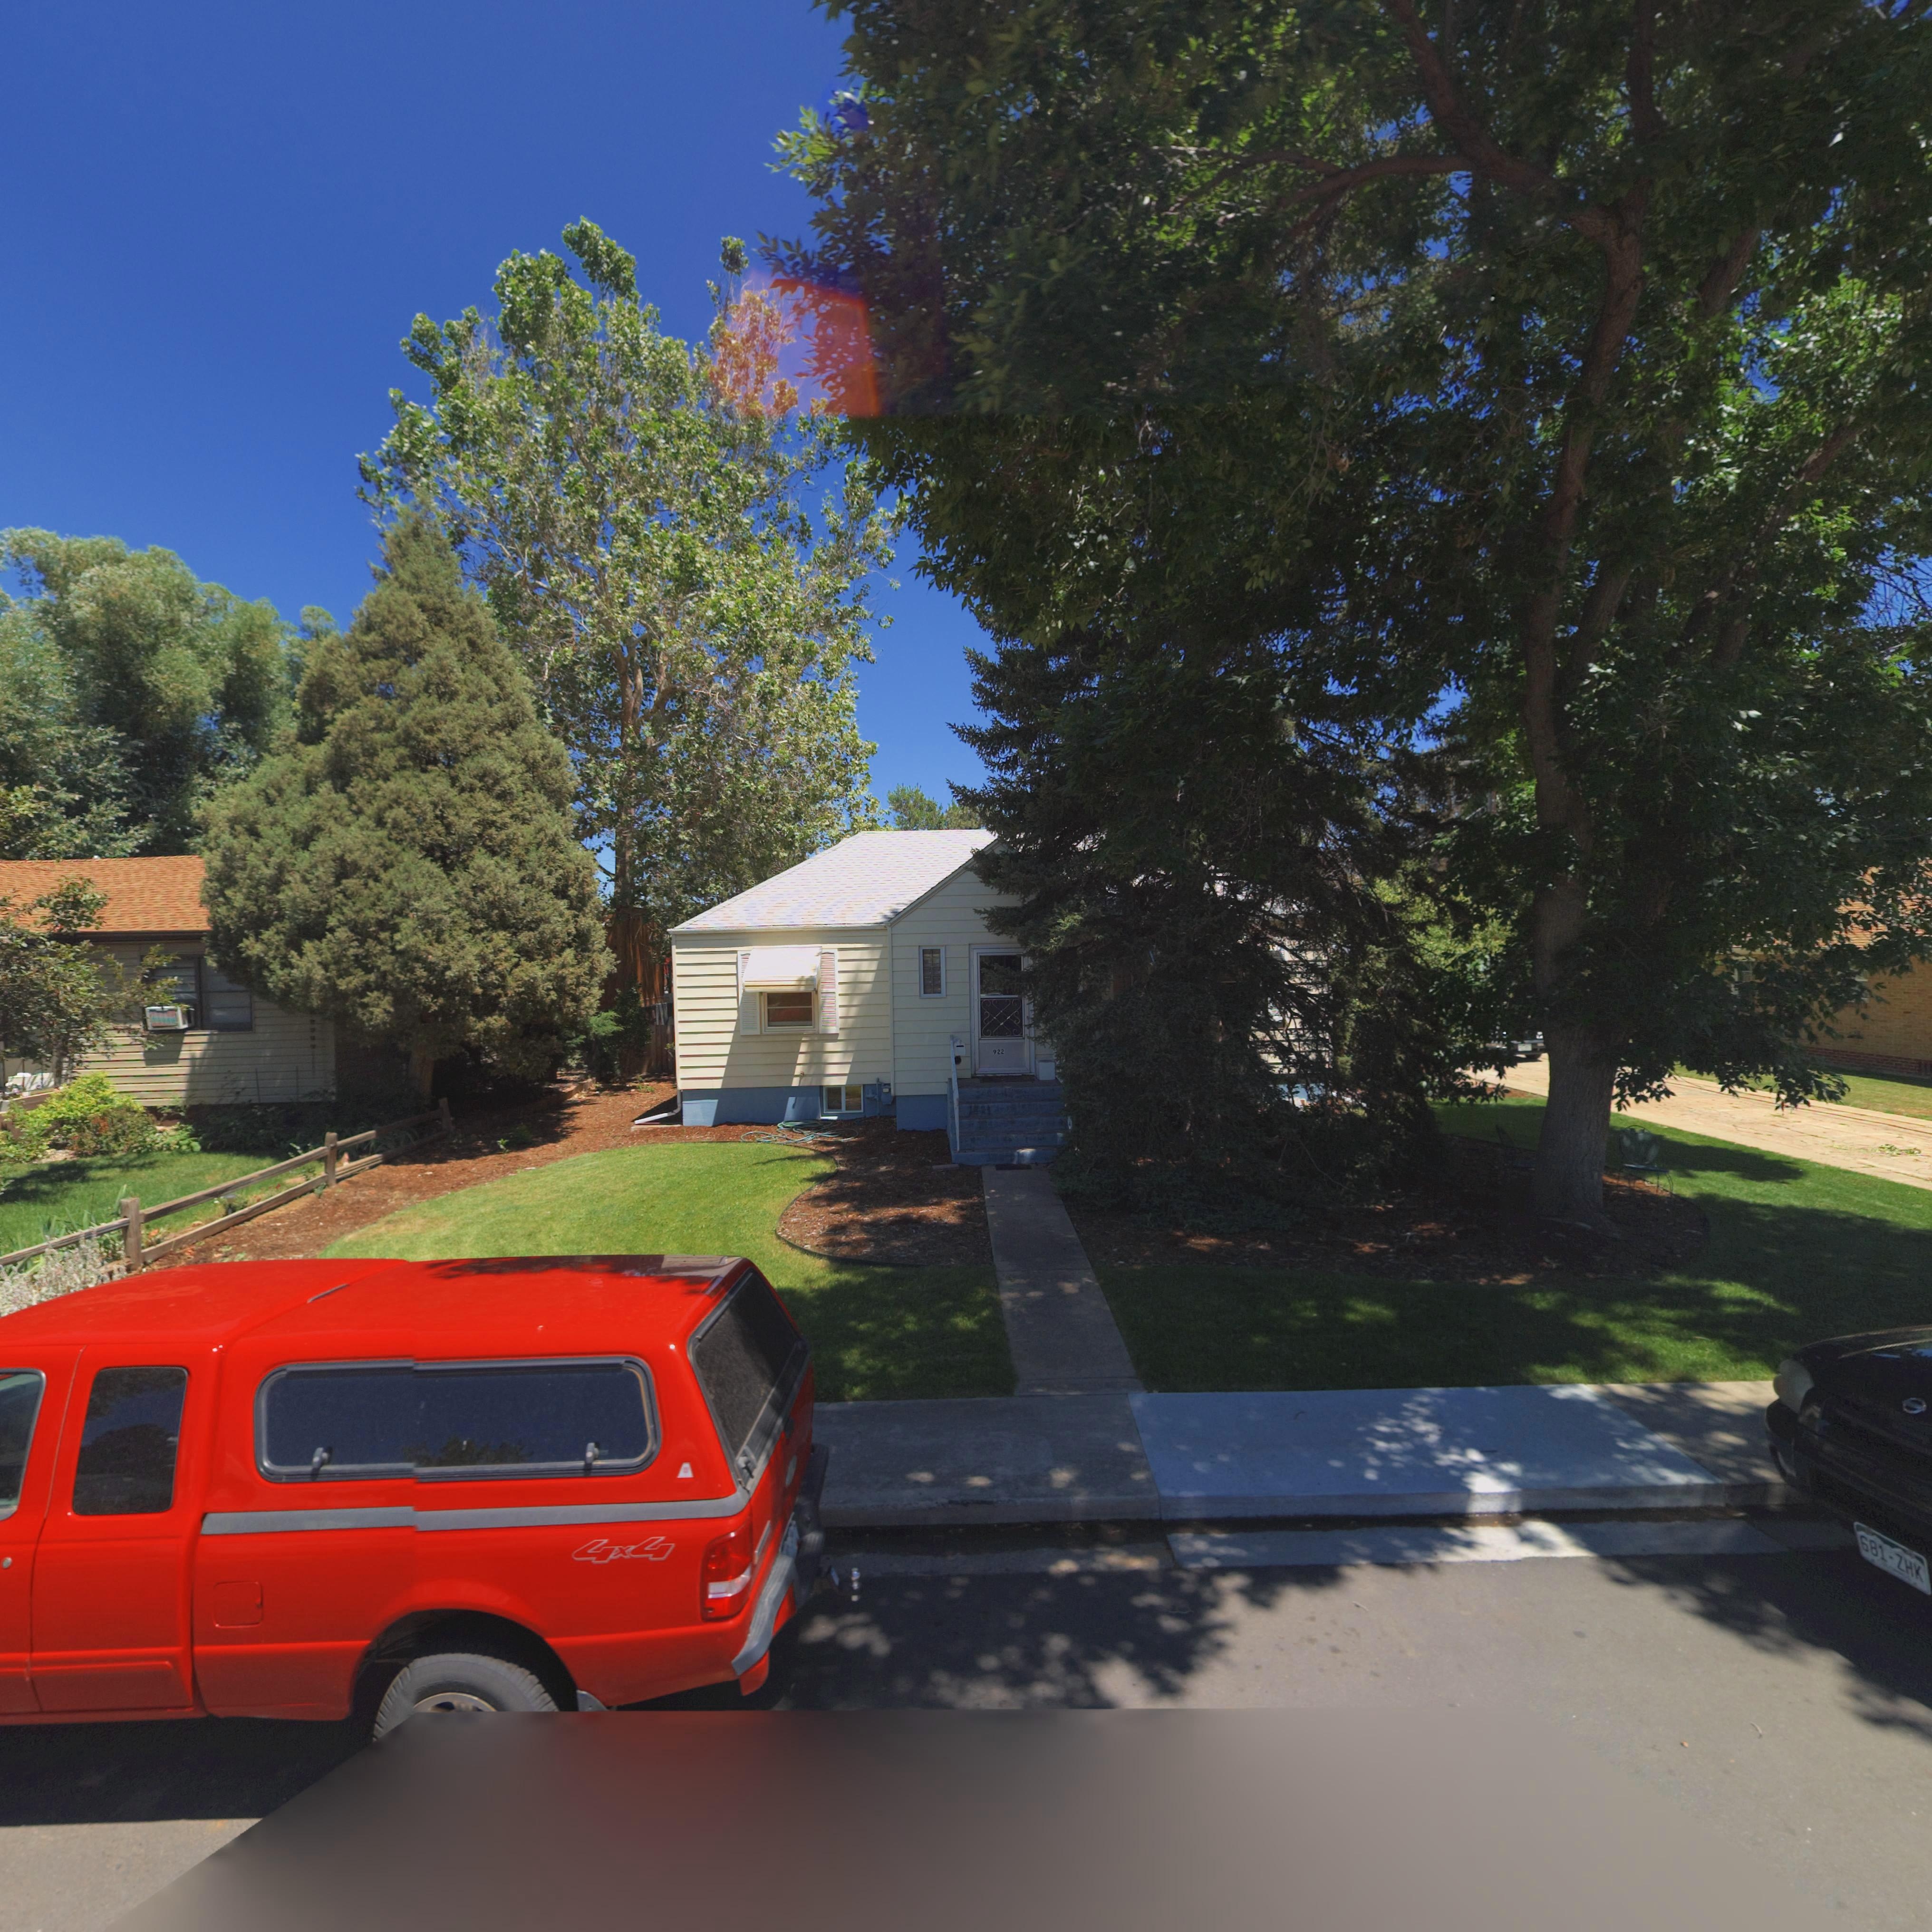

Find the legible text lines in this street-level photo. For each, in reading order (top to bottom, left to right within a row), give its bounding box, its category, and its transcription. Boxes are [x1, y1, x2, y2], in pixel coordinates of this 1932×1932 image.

[993, 1049, 1004, 1054] StreetNumber: 922